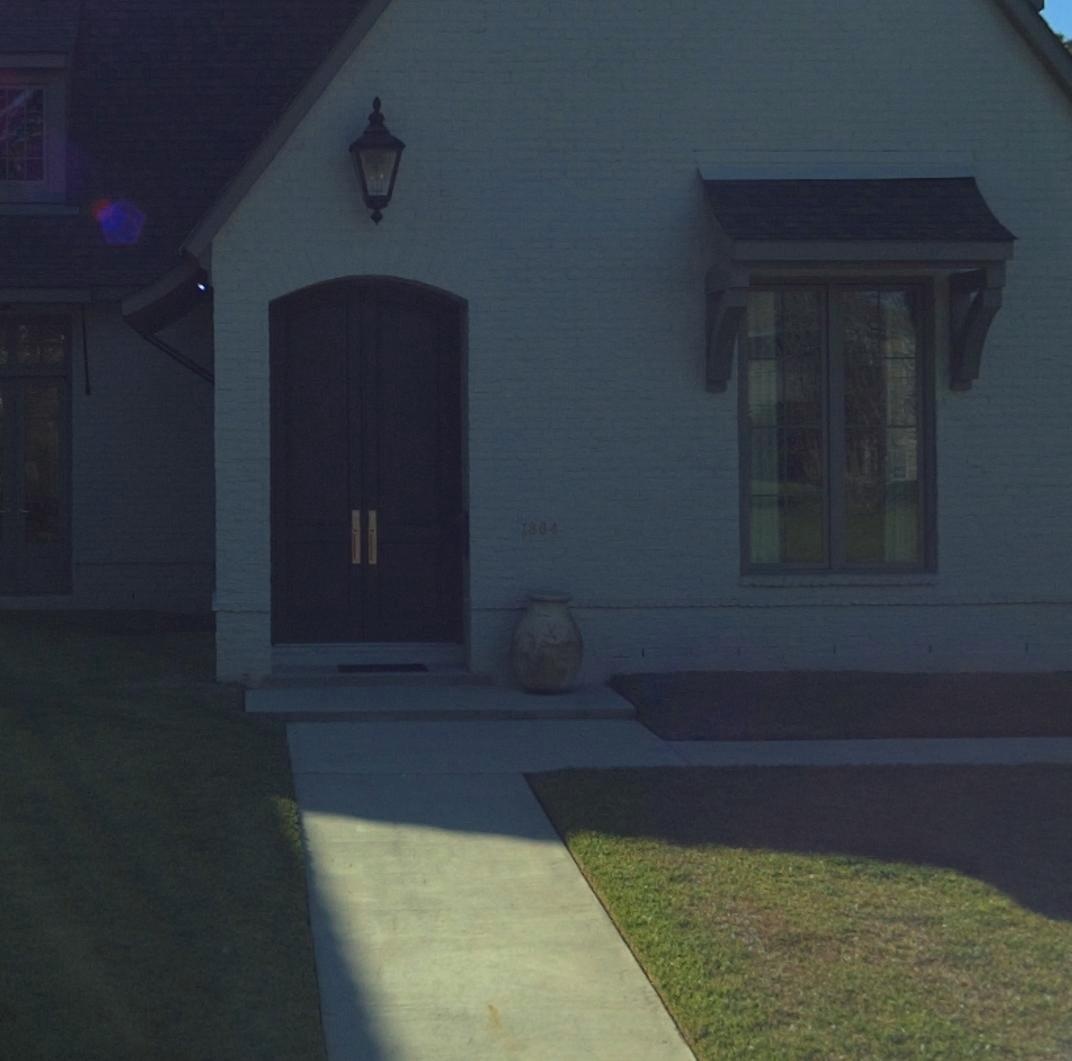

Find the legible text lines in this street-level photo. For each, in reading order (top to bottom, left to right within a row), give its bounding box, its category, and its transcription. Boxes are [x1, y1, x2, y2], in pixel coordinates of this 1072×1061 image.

[520, 520, 559, 537] StreetNumber: 1864